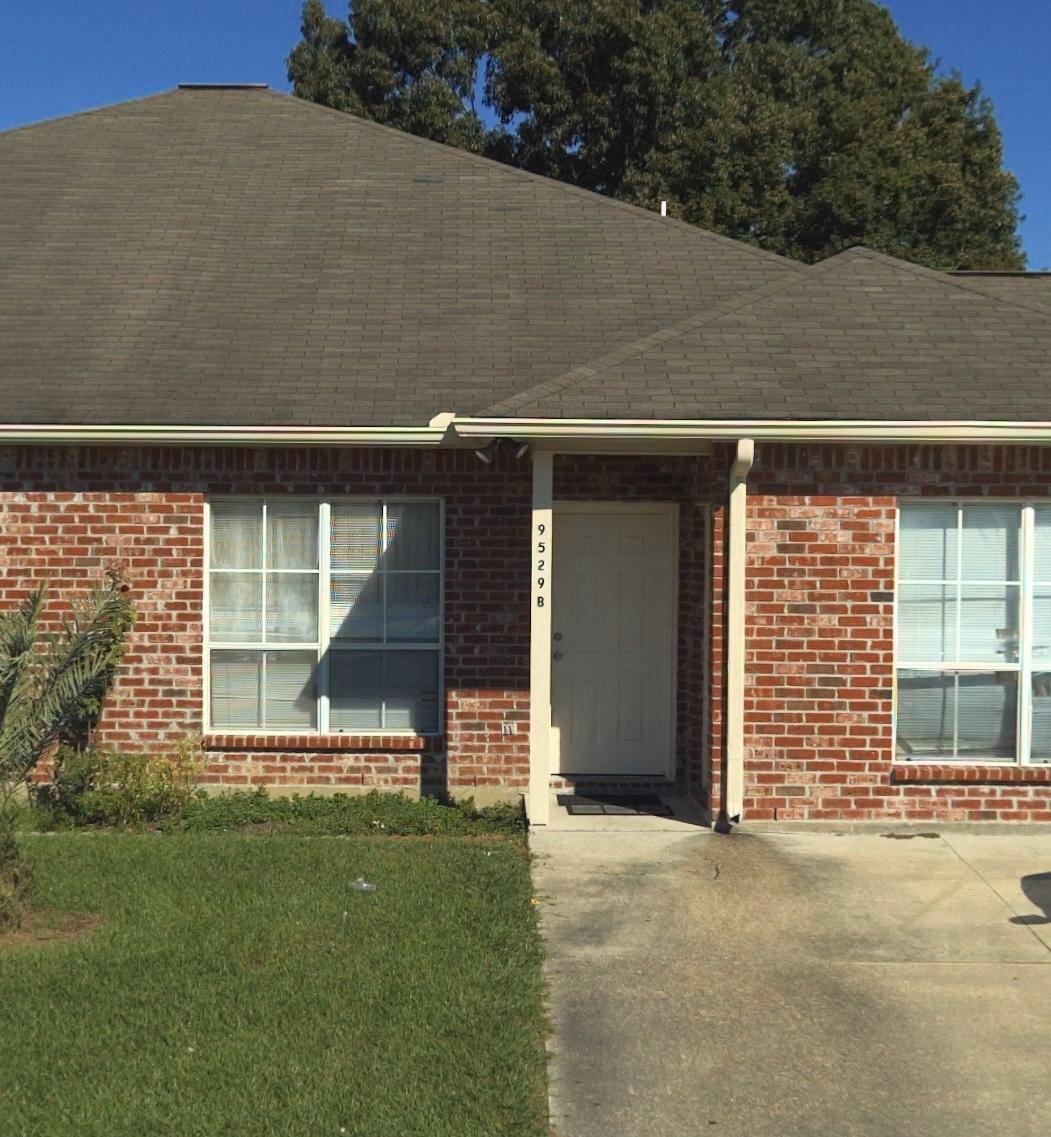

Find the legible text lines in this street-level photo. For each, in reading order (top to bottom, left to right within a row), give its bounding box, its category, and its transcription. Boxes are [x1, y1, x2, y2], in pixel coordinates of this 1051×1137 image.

[534, 521, 548, 610] StreetNumber: 9529 B